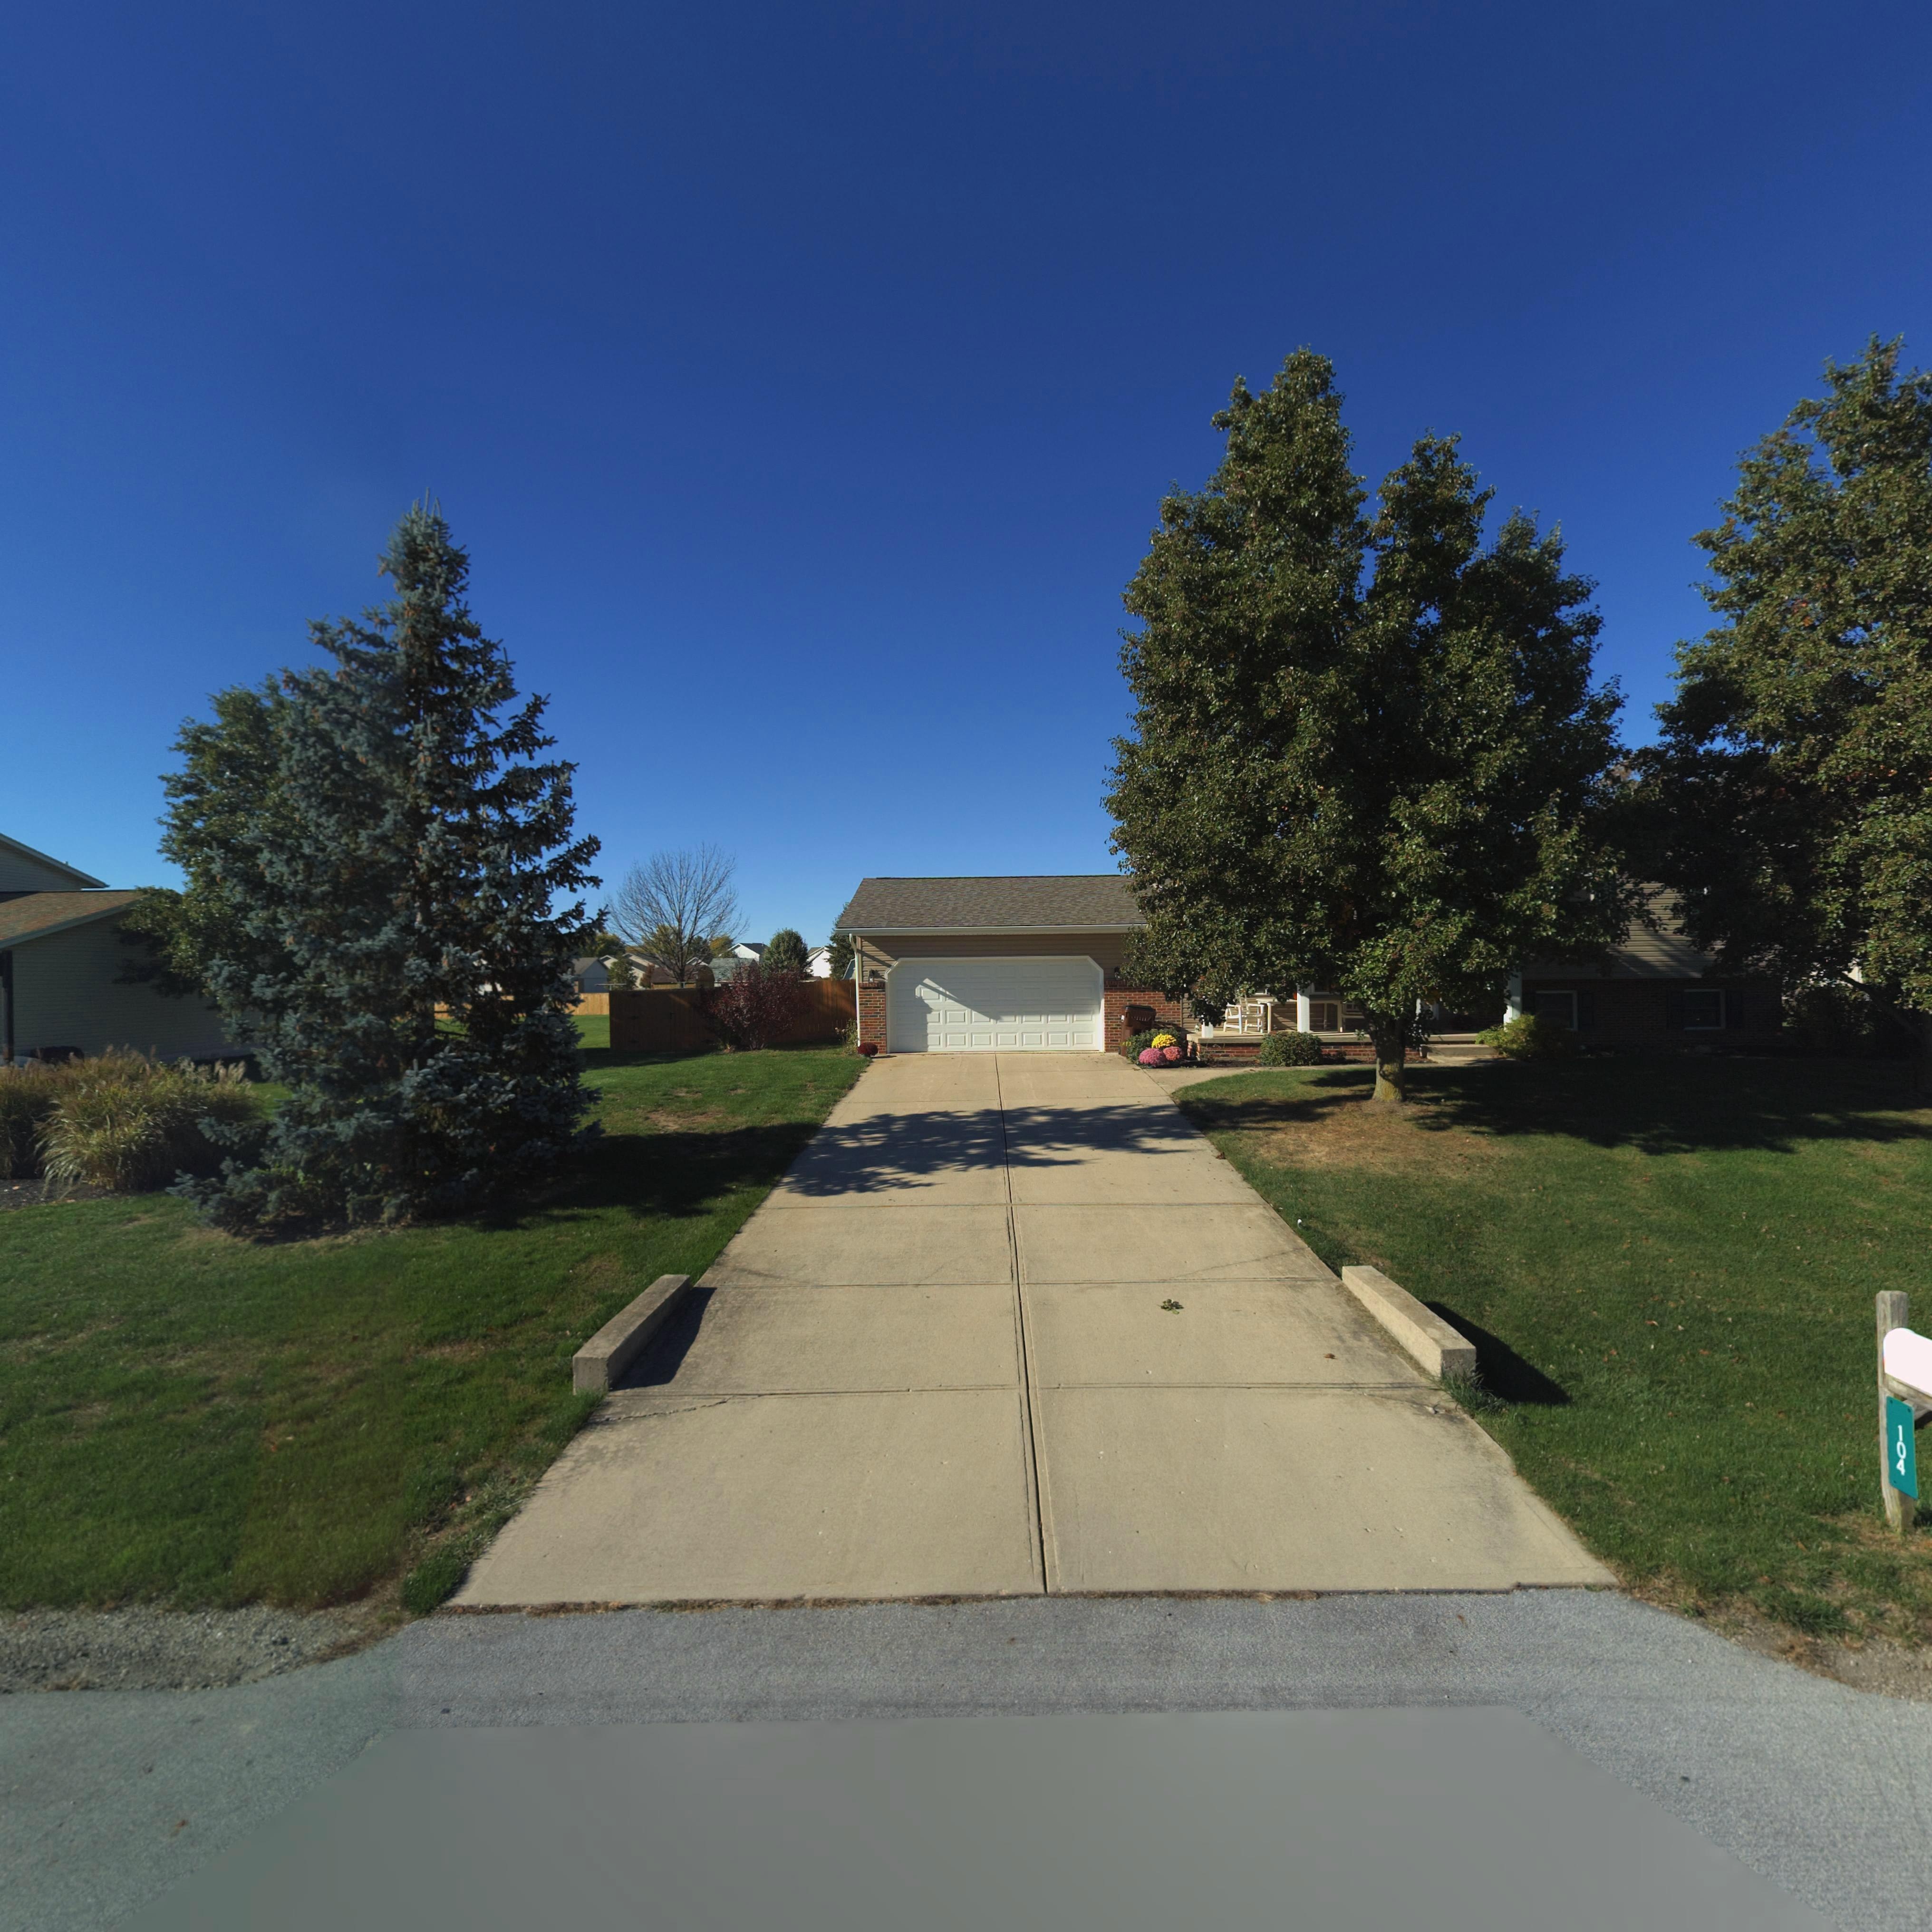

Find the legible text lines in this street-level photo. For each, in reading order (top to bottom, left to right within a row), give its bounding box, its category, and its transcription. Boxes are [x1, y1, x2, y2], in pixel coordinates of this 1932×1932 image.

[1894, 1422, 1908, 1478] StreetNumber: 104